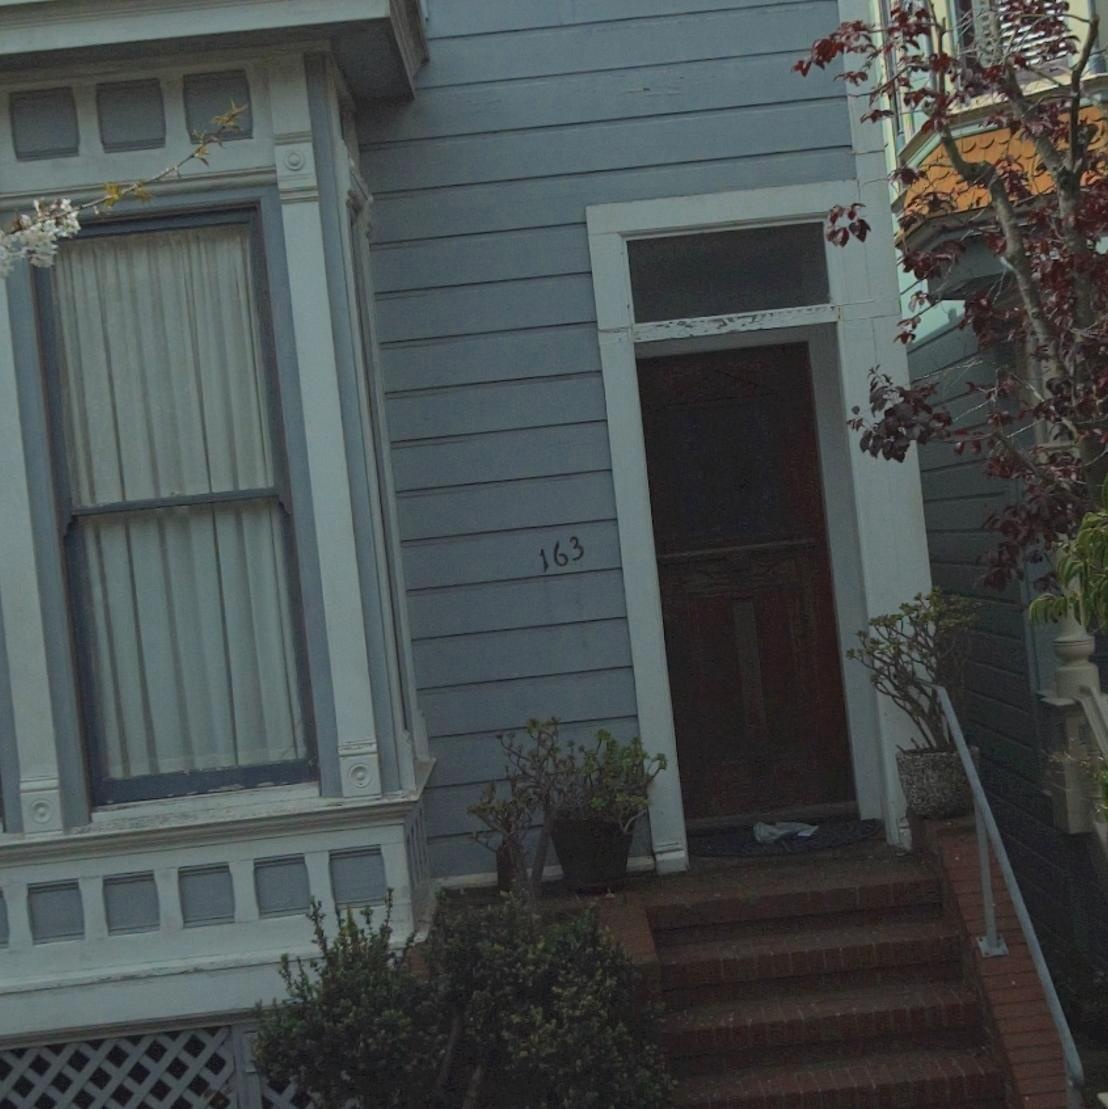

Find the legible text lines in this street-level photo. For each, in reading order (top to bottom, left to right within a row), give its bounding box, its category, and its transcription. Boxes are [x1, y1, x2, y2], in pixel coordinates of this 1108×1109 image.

[537, 529, 588, 574] StreetNumber: 163